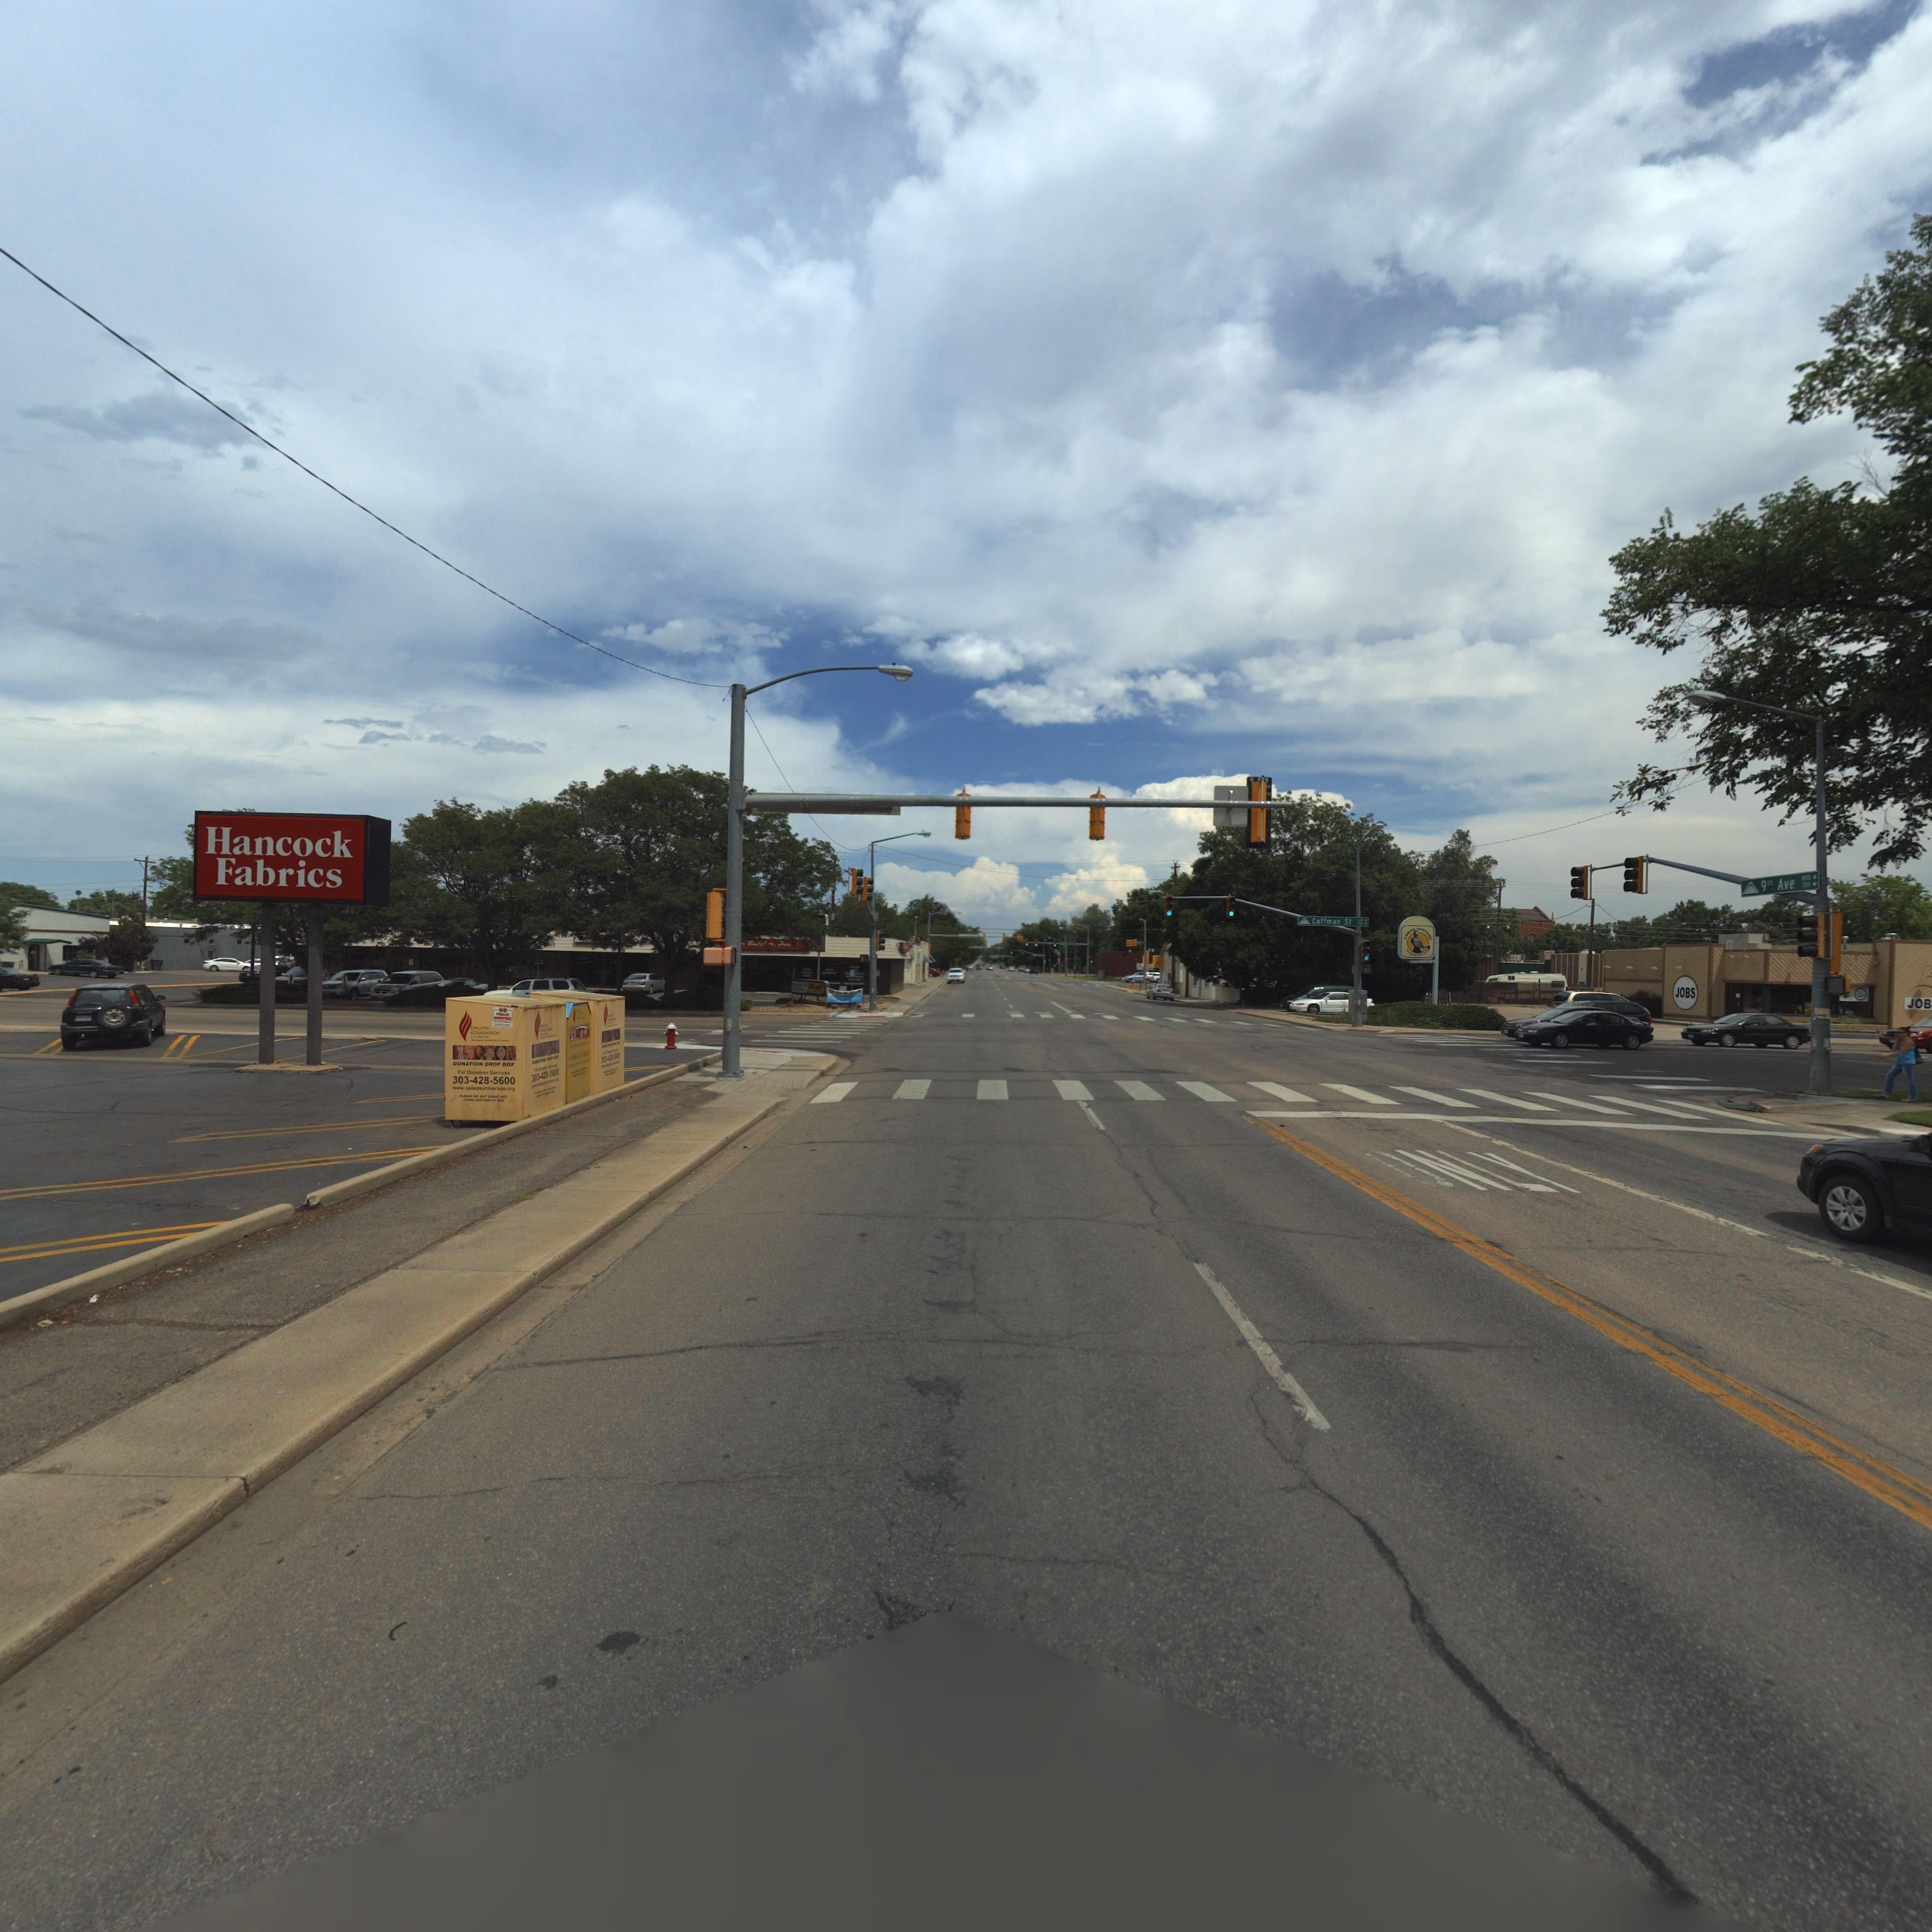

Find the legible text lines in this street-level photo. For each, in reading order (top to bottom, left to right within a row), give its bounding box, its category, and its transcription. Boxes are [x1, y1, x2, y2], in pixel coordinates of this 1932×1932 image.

[204, 825, 354, 859] BusinessName: Hancock
[213, 856, 343, 889] BusinessName: Fabrics
[1801, 874, 1811, 881] StreetNumberRange: *00
[1760, 878, 1795, 892] StreetName: 9** Ave
[1801, 881, 1817, 888] StreetNumberRange: *00->
[1311, 918, 1352, 925] StreetName: Coffman St
[1357, 922, 1363, 925] StreetNumberRange: *00
[1403, 927, 1432, 940] BusinessName: LA*** *Y***M*
[740, 939, 800, 948] BusinessName: * Butc*er Fr***